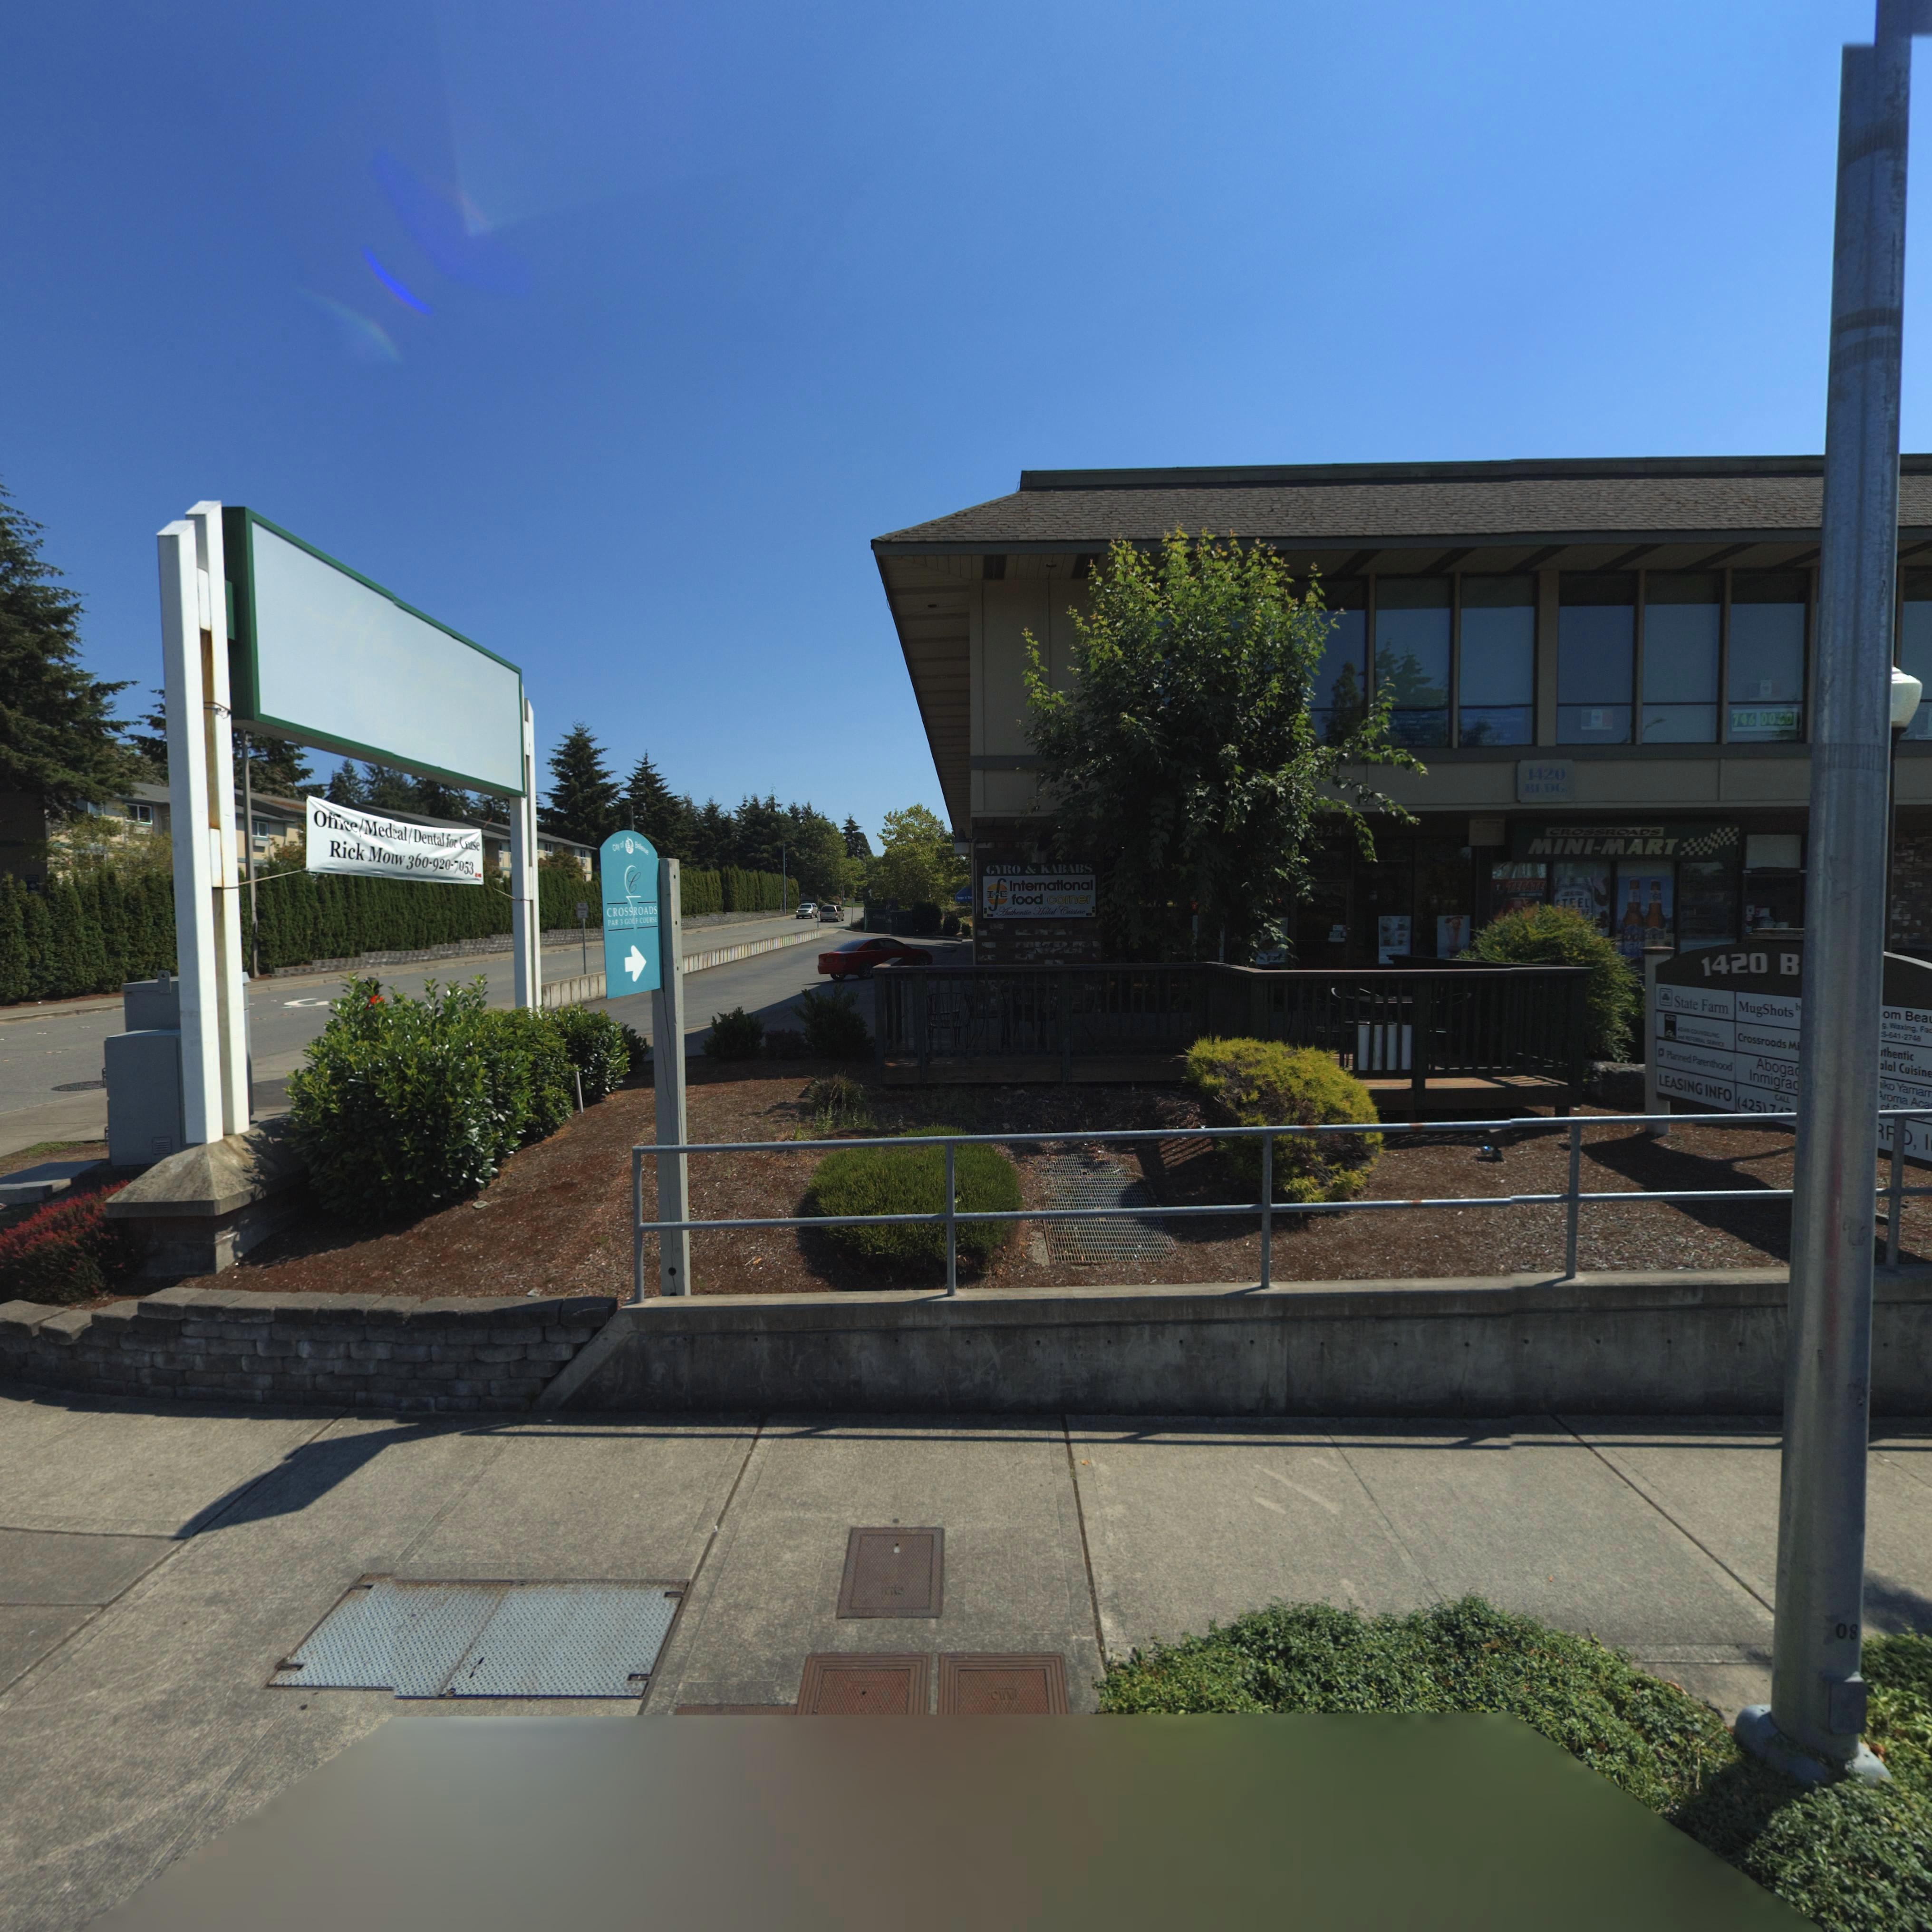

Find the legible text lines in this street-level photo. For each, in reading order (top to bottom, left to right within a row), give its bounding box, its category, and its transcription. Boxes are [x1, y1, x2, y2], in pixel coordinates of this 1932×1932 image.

[1526, 768, 1566, 781] StreetNumber: 1420
[1549, 825, 1663, 837] BusinessName: CROSSROADS
[1529, 837, 1680, 854] BusinessName: MINI-MART
[1007, 878, 1094, 892] BusinessName: International
[1011, 893, 1044, 905] BusinessName: food
[1047, 893, 1092, 904] BusinessName: corner
[605, 905, 657, 917] BusinessName: CROSSROADS
[1700, 952, 1767, 977] StreetNumber: 1420
[1672, 993, 1730, 1017] BusinessName: State Farm
[1736, 999, 1795, 1018] BusinessName: MugShots
[1883, 1010, 1928, 1024] BusinessName: om Bea
[1737, 1030, 1801, 1054] BusinessName: Crossroads M*
[1667, 1048, 1735, 1073] BusinessName: Planned Parenthood
[1754, 1054, 1801, 1077] BusinessName: Aboga*
[1883, 1047, 1914, 1062] BusinessName: thentic
[1884, 1060, 1927, 1078] BusinessName: lal Cuisin
[1745, 1065, 1801, 1092] BusinessName: Inmigra*
[1884, 1081, 1925, 1098] BusinessName: ko Yama
[1883, 1093, 1924, 1109] BusinessName: roma Ac